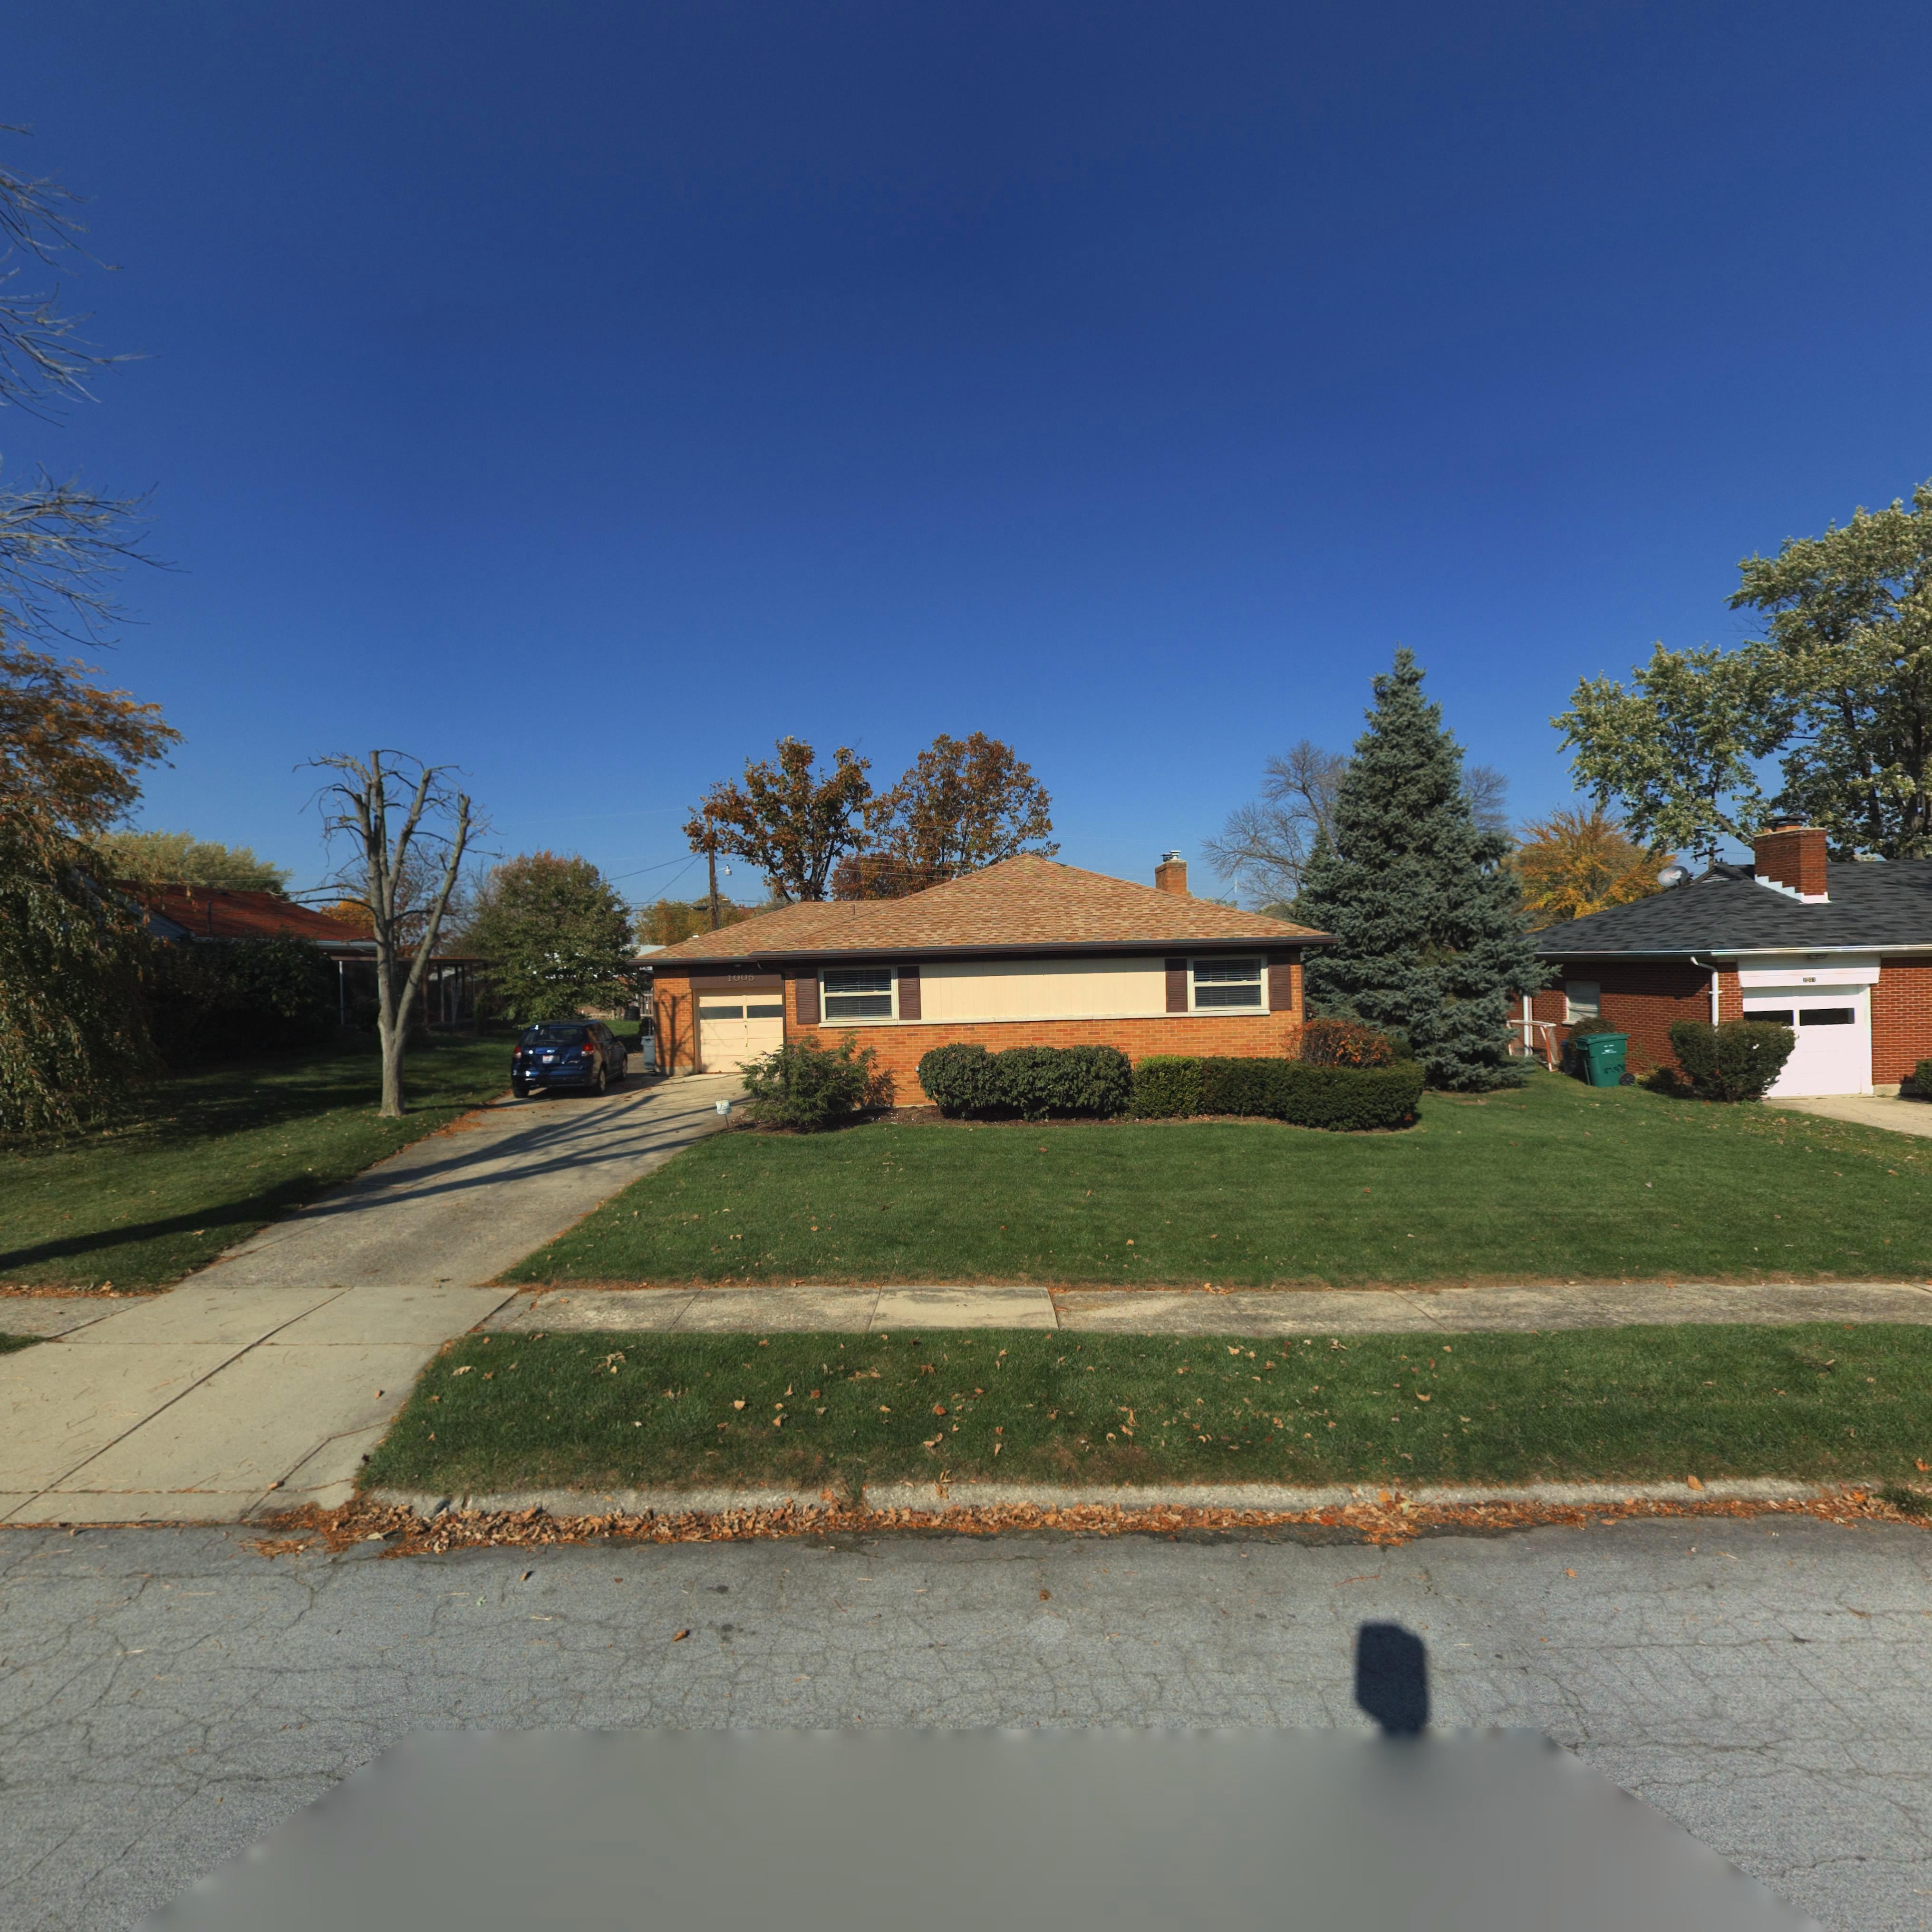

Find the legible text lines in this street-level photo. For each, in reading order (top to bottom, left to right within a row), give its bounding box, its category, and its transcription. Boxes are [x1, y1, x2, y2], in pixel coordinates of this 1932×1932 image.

[726, 973, 755, 983] StreetNumber: 1005